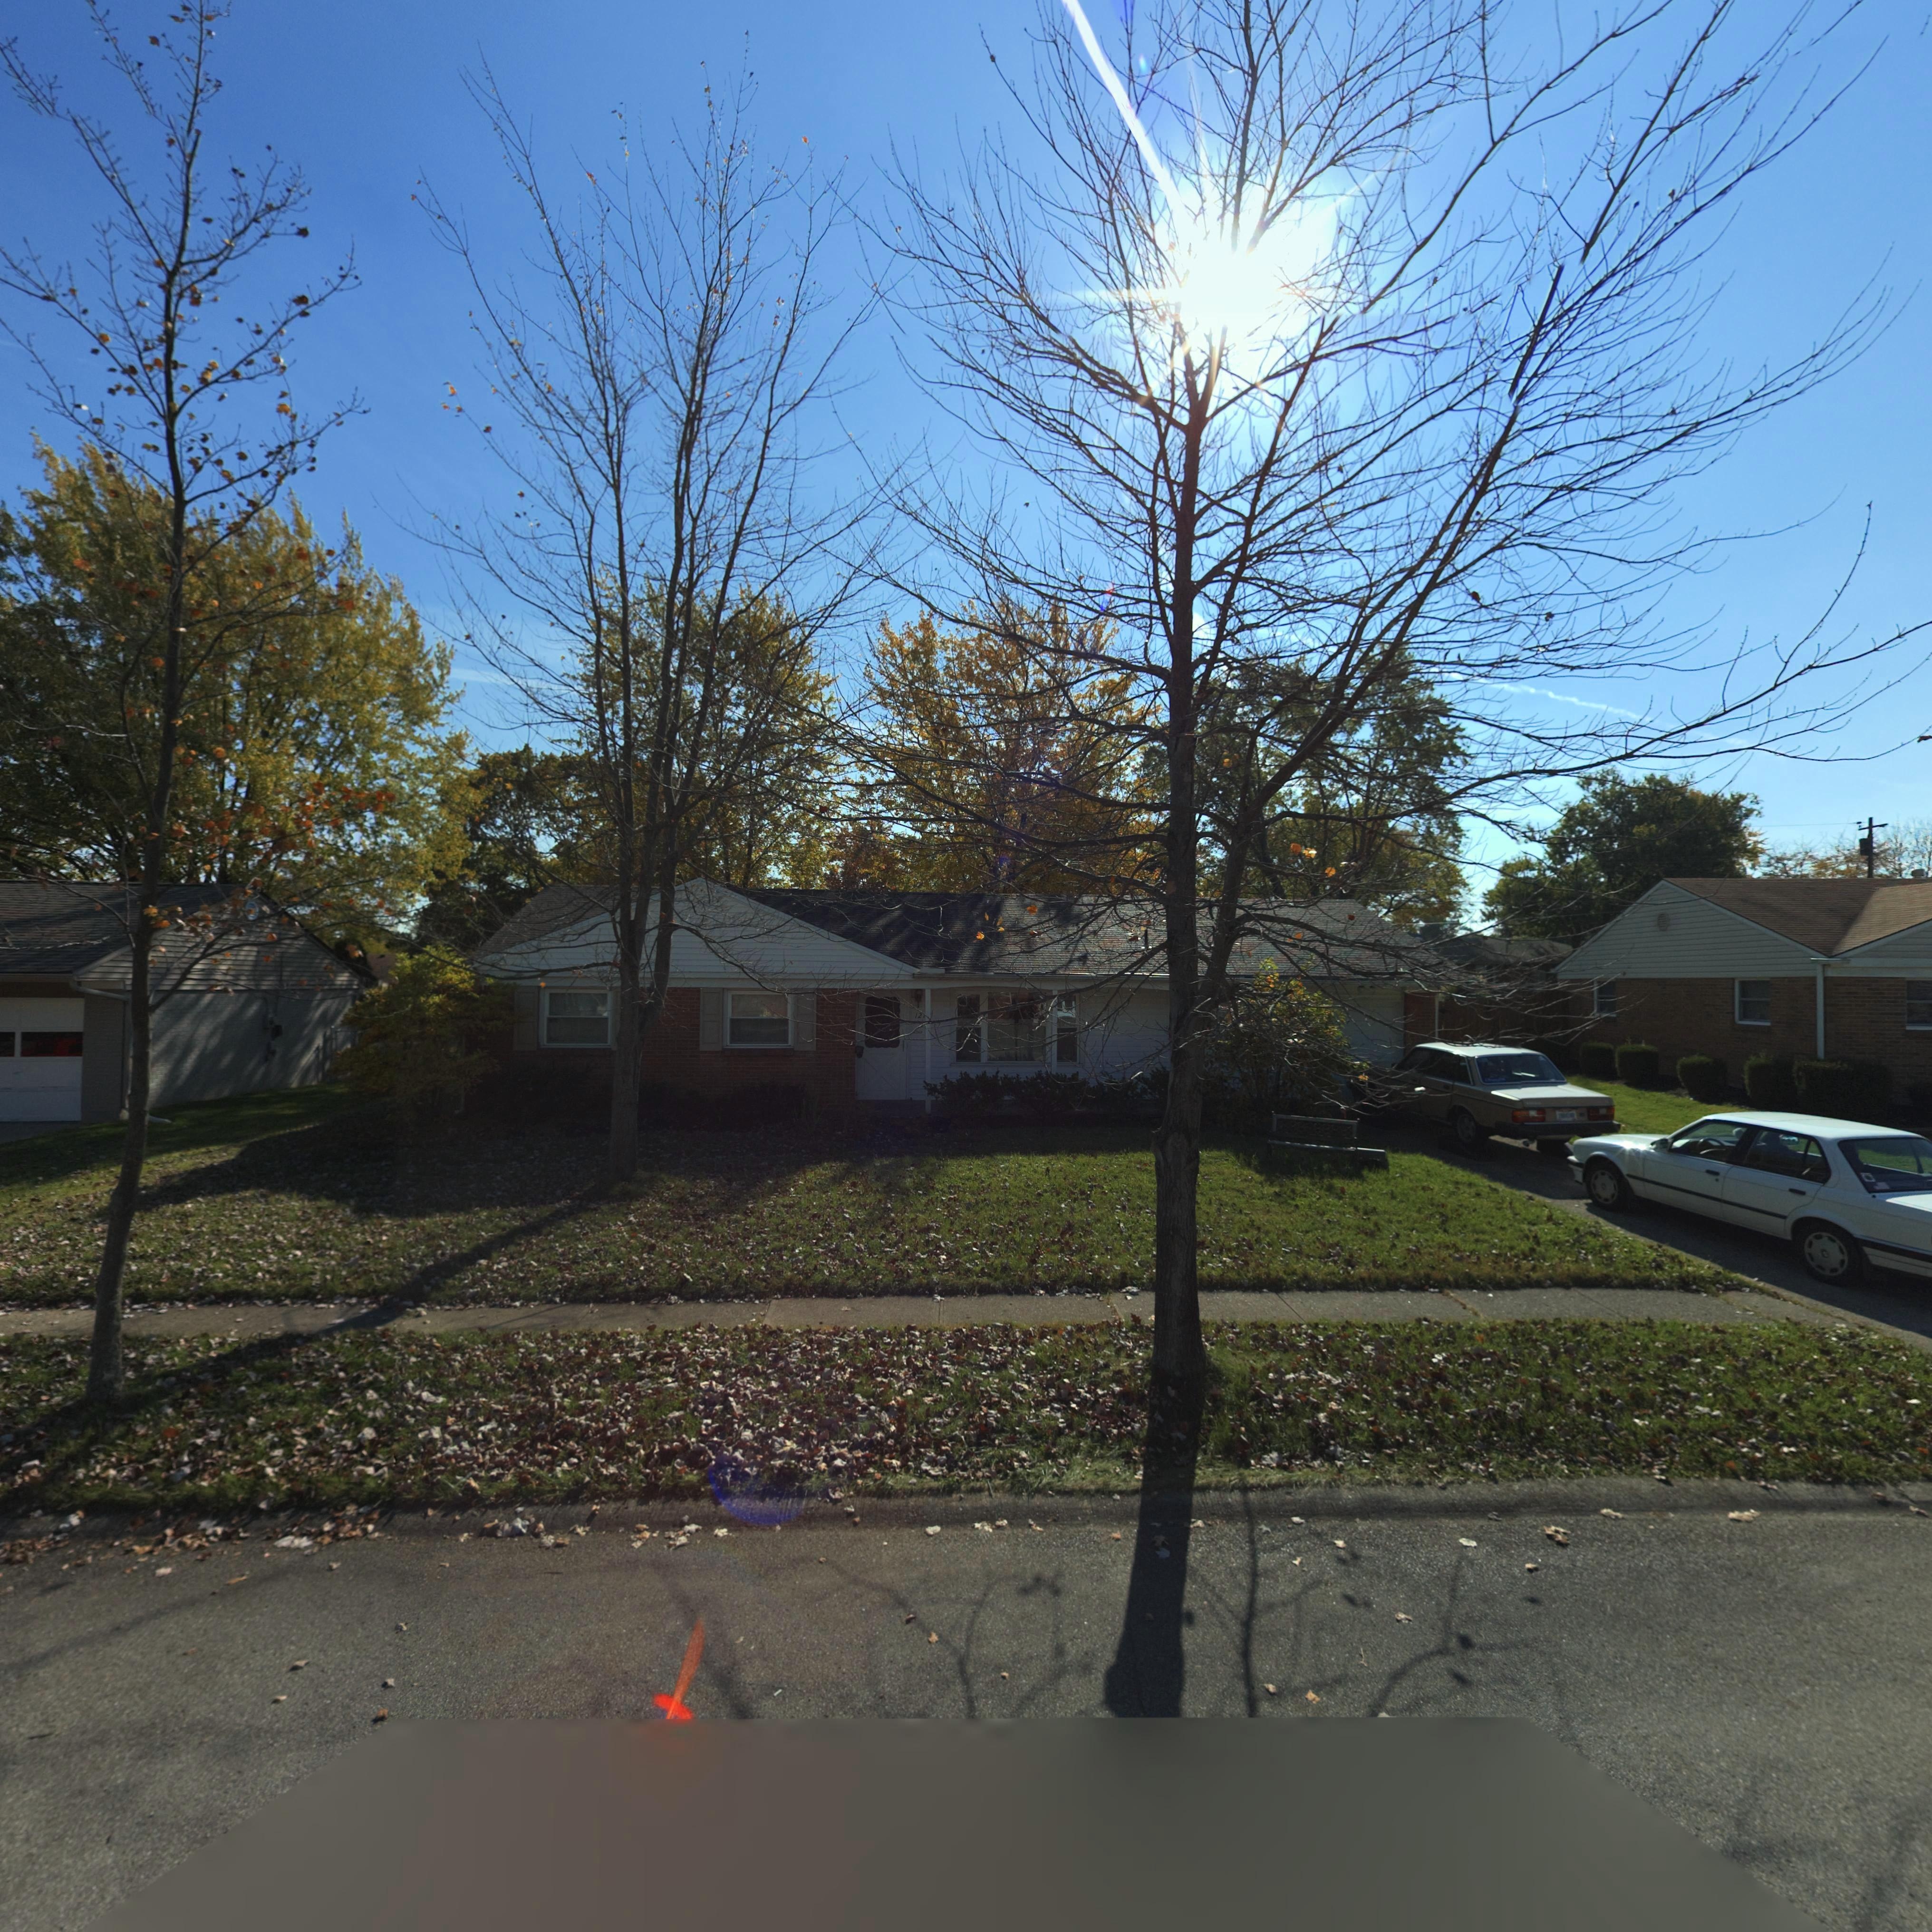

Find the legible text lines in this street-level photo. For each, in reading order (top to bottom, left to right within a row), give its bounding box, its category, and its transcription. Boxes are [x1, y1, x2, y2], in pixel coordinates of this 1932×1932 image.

[914, 1012, 923, 1019] StreetNumber: 12